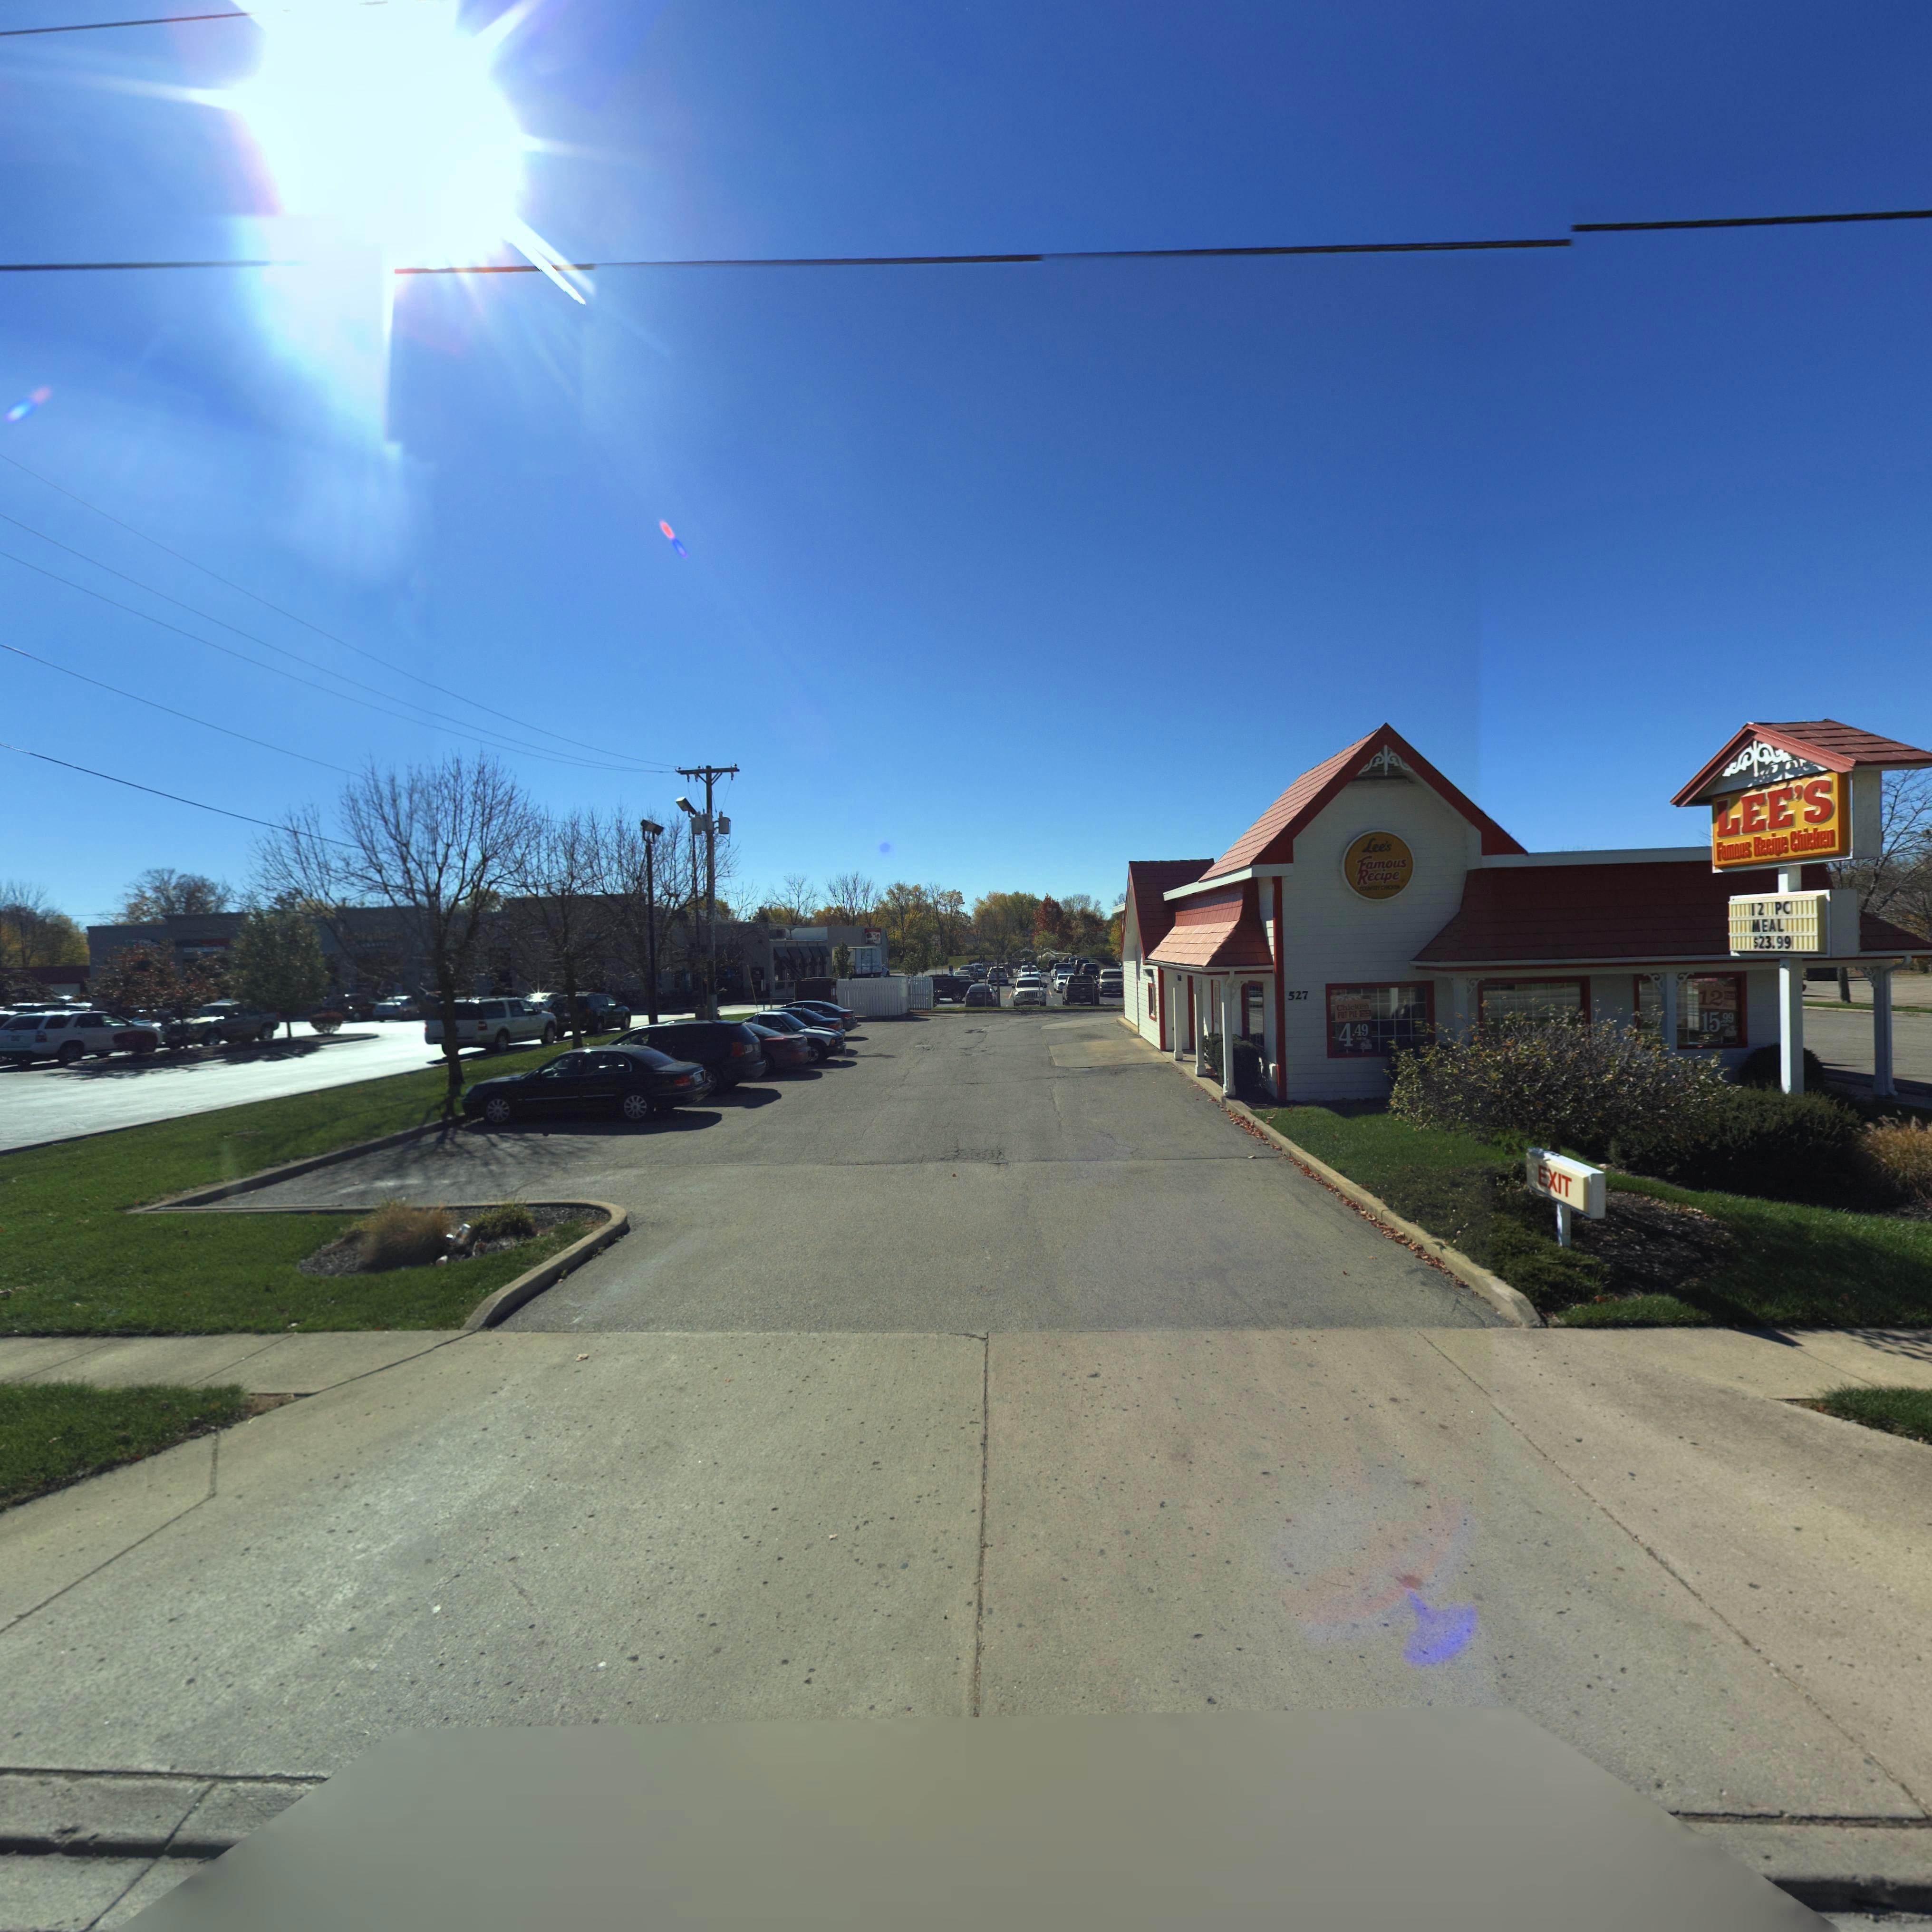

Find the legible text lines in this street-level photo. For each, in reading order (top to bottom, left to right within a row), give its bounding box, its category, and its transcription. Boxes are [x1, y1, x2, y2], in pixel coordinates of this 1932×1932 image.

[1714, 776, 1834, 839] BusinessName: LEE'S
[1360, 836, 1393, 854] BusinessName: Lee's
[1715, 827, 1836, 862] BusinessName: Famous Recipe Chicken
[1355, 854, 1408, 870] BusinessName: Famous
[1355, 868, 1401, 886] BusinessName: Recipe
[1358, 884, 1401, 892] BusinessName: COUNTRY CHICKEN
[1750, 900, 1791, 917] None: 12 PC
[1751, 918, 1785, 933] None: MEAL
[1753, 935, 1792, 950] None: $23.99
[1287, 990, 1310, 1001] StreetNumber: 527
[1336, 1010, 1359, 1019] None: POT PIE
[1335, 1003, 1370, 1012] None: Chicken
[1337, 1022, 1369, 1048] None: 4.49
[1537, 1163, 1574, 1199] None: EXIT